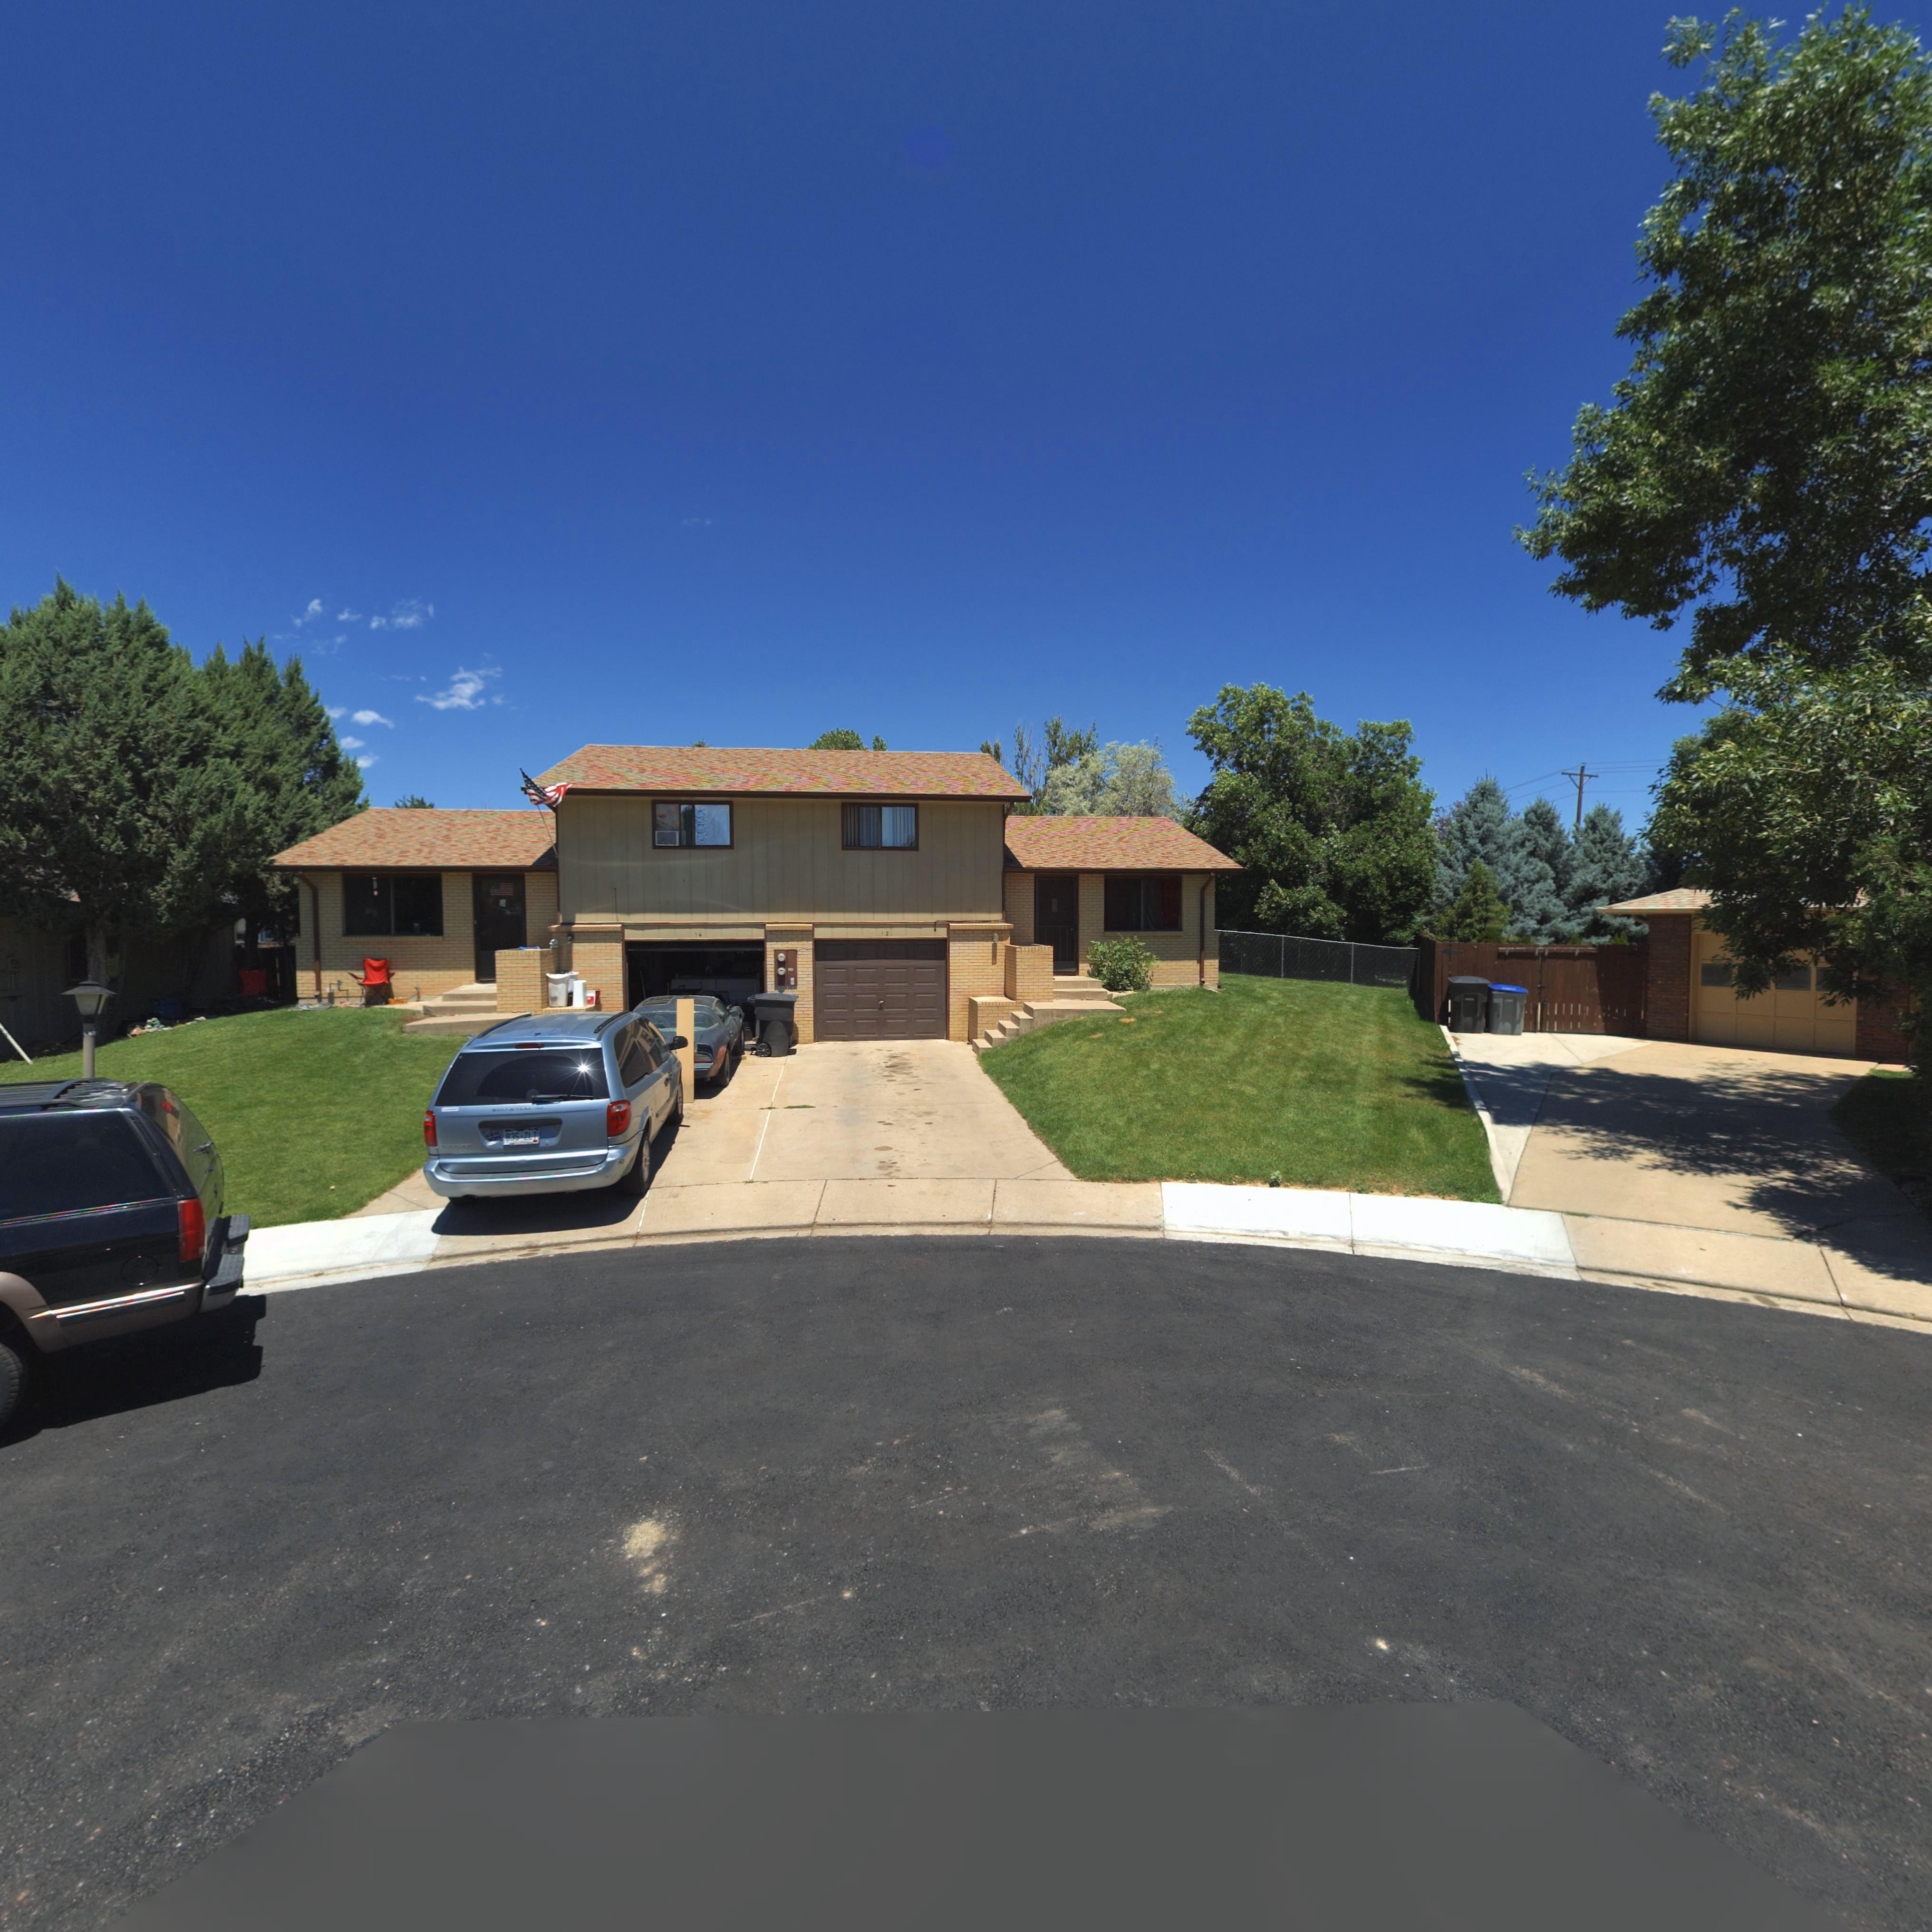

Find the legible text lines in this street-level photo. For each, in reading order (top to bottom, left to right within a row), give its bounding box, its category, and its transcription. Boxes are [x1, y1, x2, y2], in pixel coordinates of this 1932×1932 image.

[695, 932, 702, 937] StreetNumber: 14
[881, 931, 889, 936] StreetNumber: 12